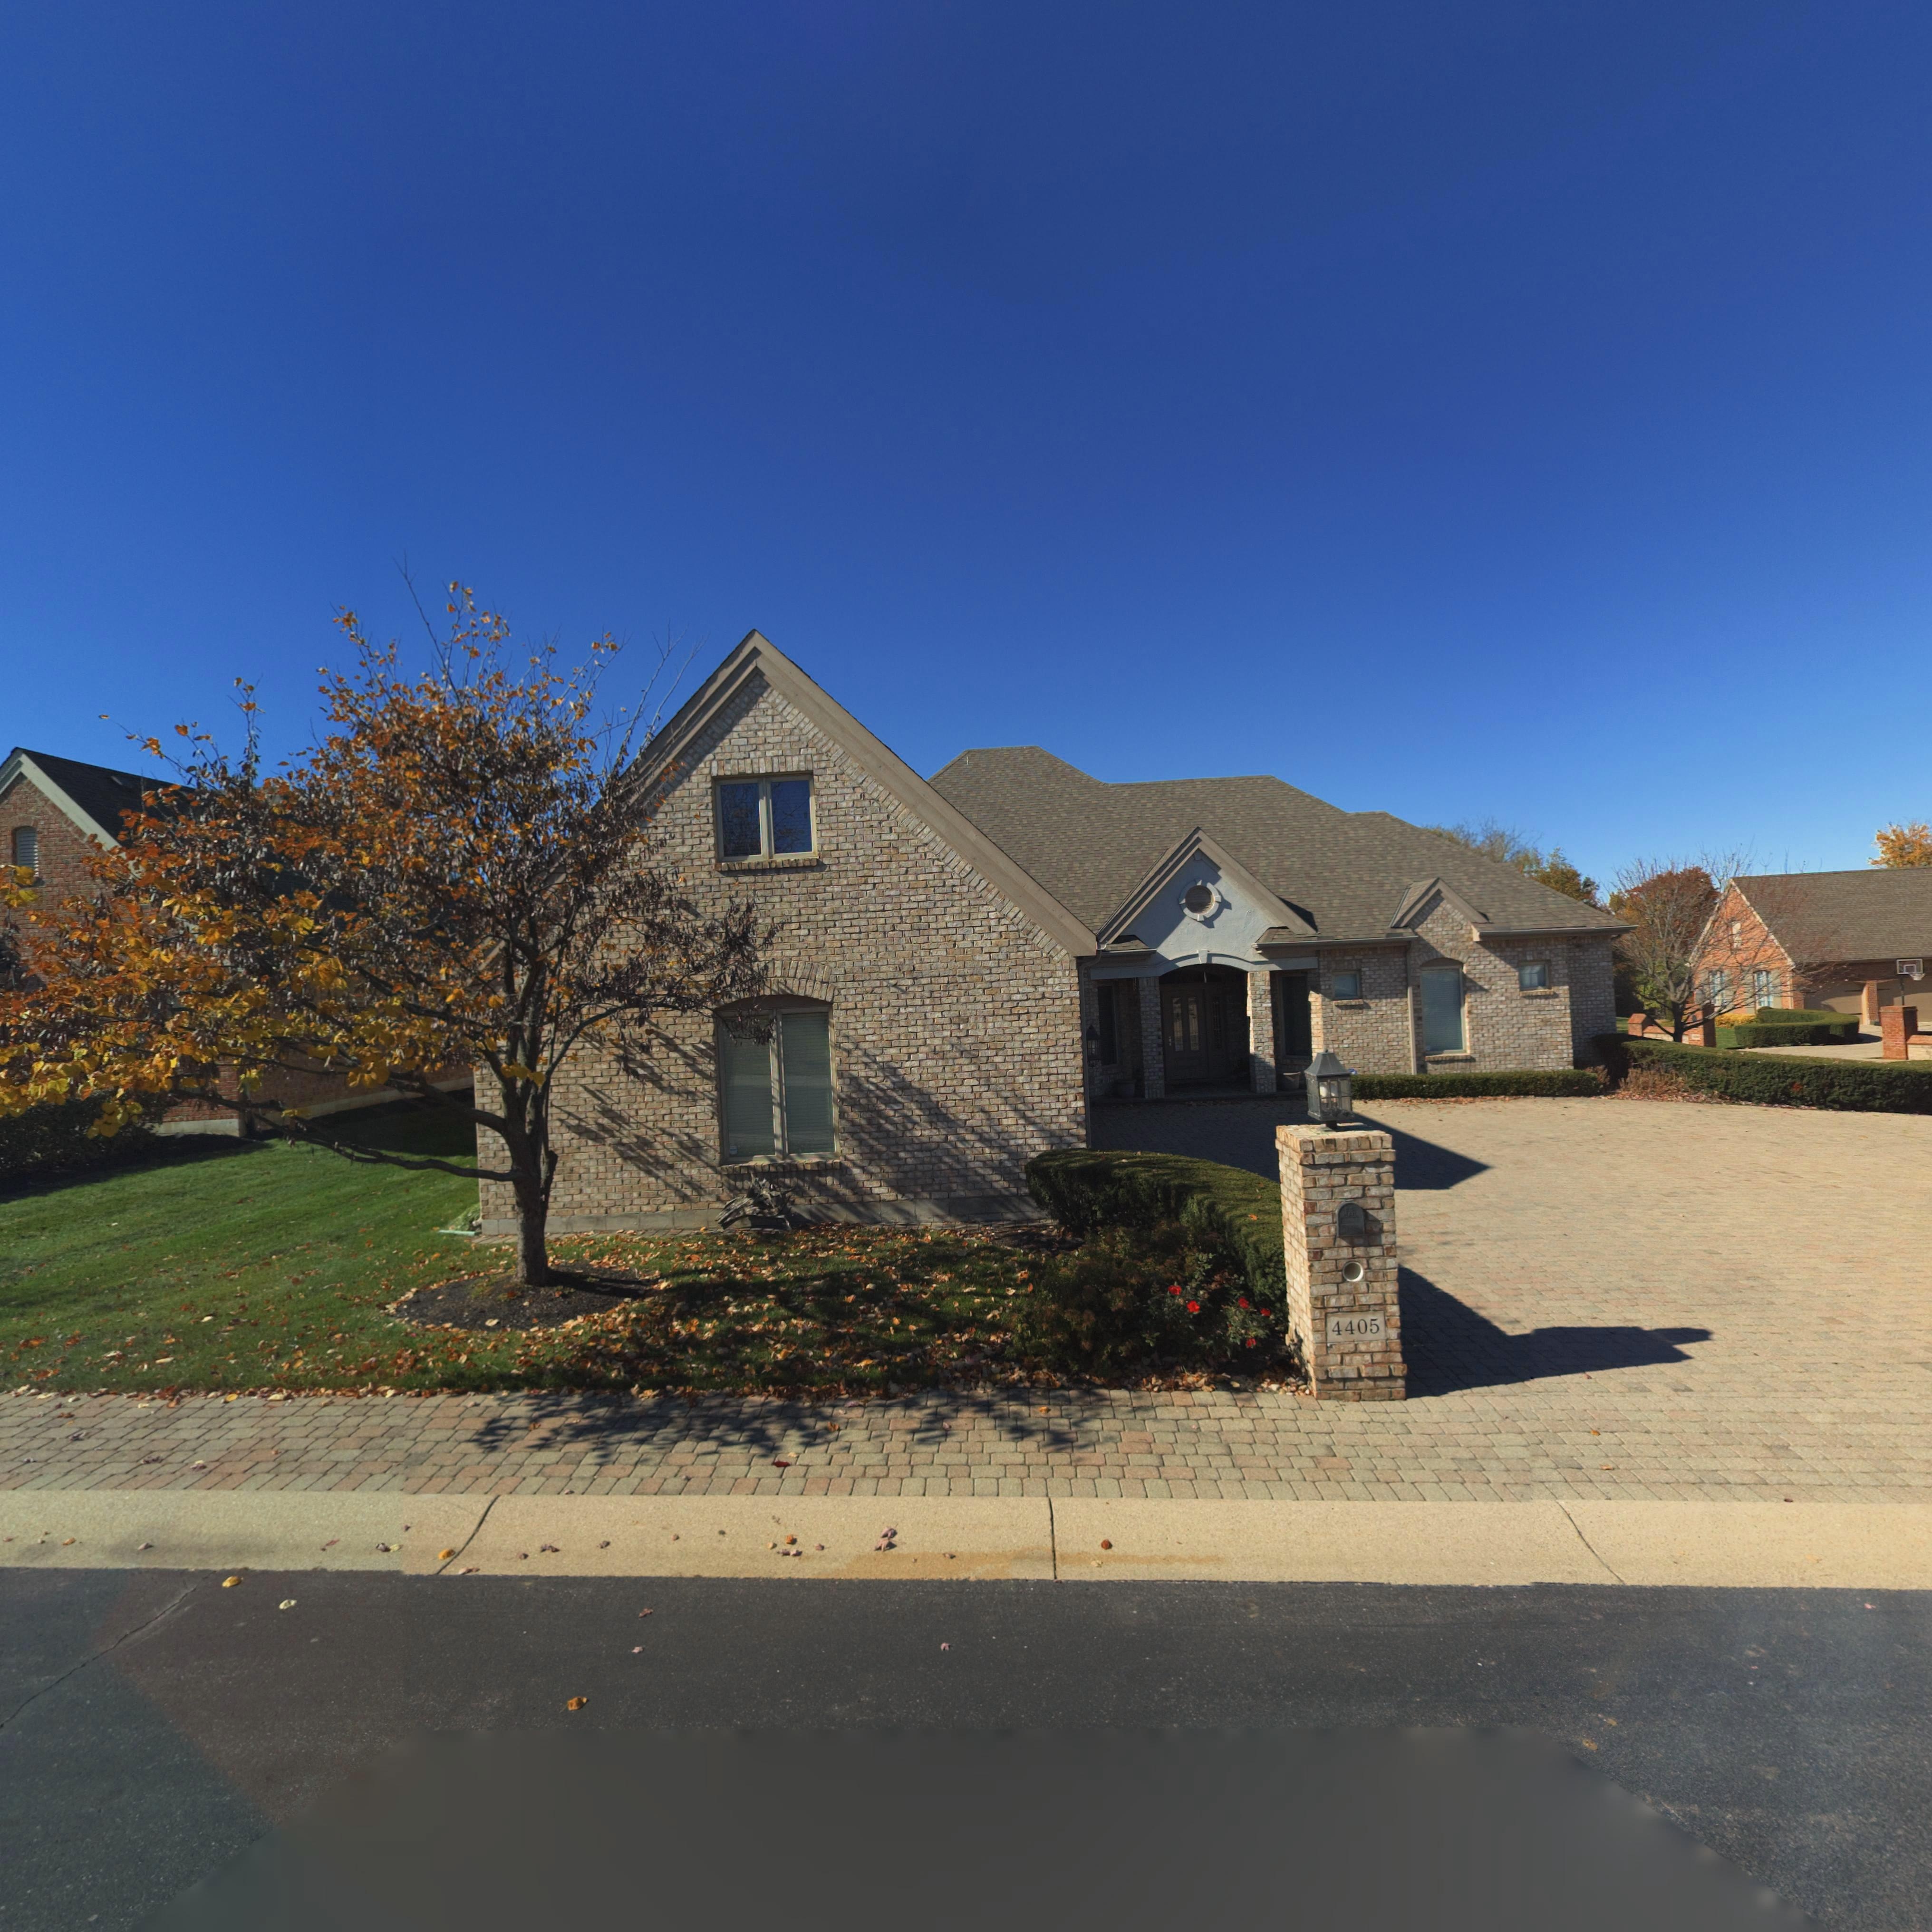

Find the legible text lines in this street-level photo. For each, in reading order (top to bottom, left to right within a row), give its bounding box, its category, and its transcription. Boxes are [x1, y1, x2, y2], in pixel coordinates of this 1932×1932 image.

[1330, 1316, 1381, 1337] StreetNumber: 4405